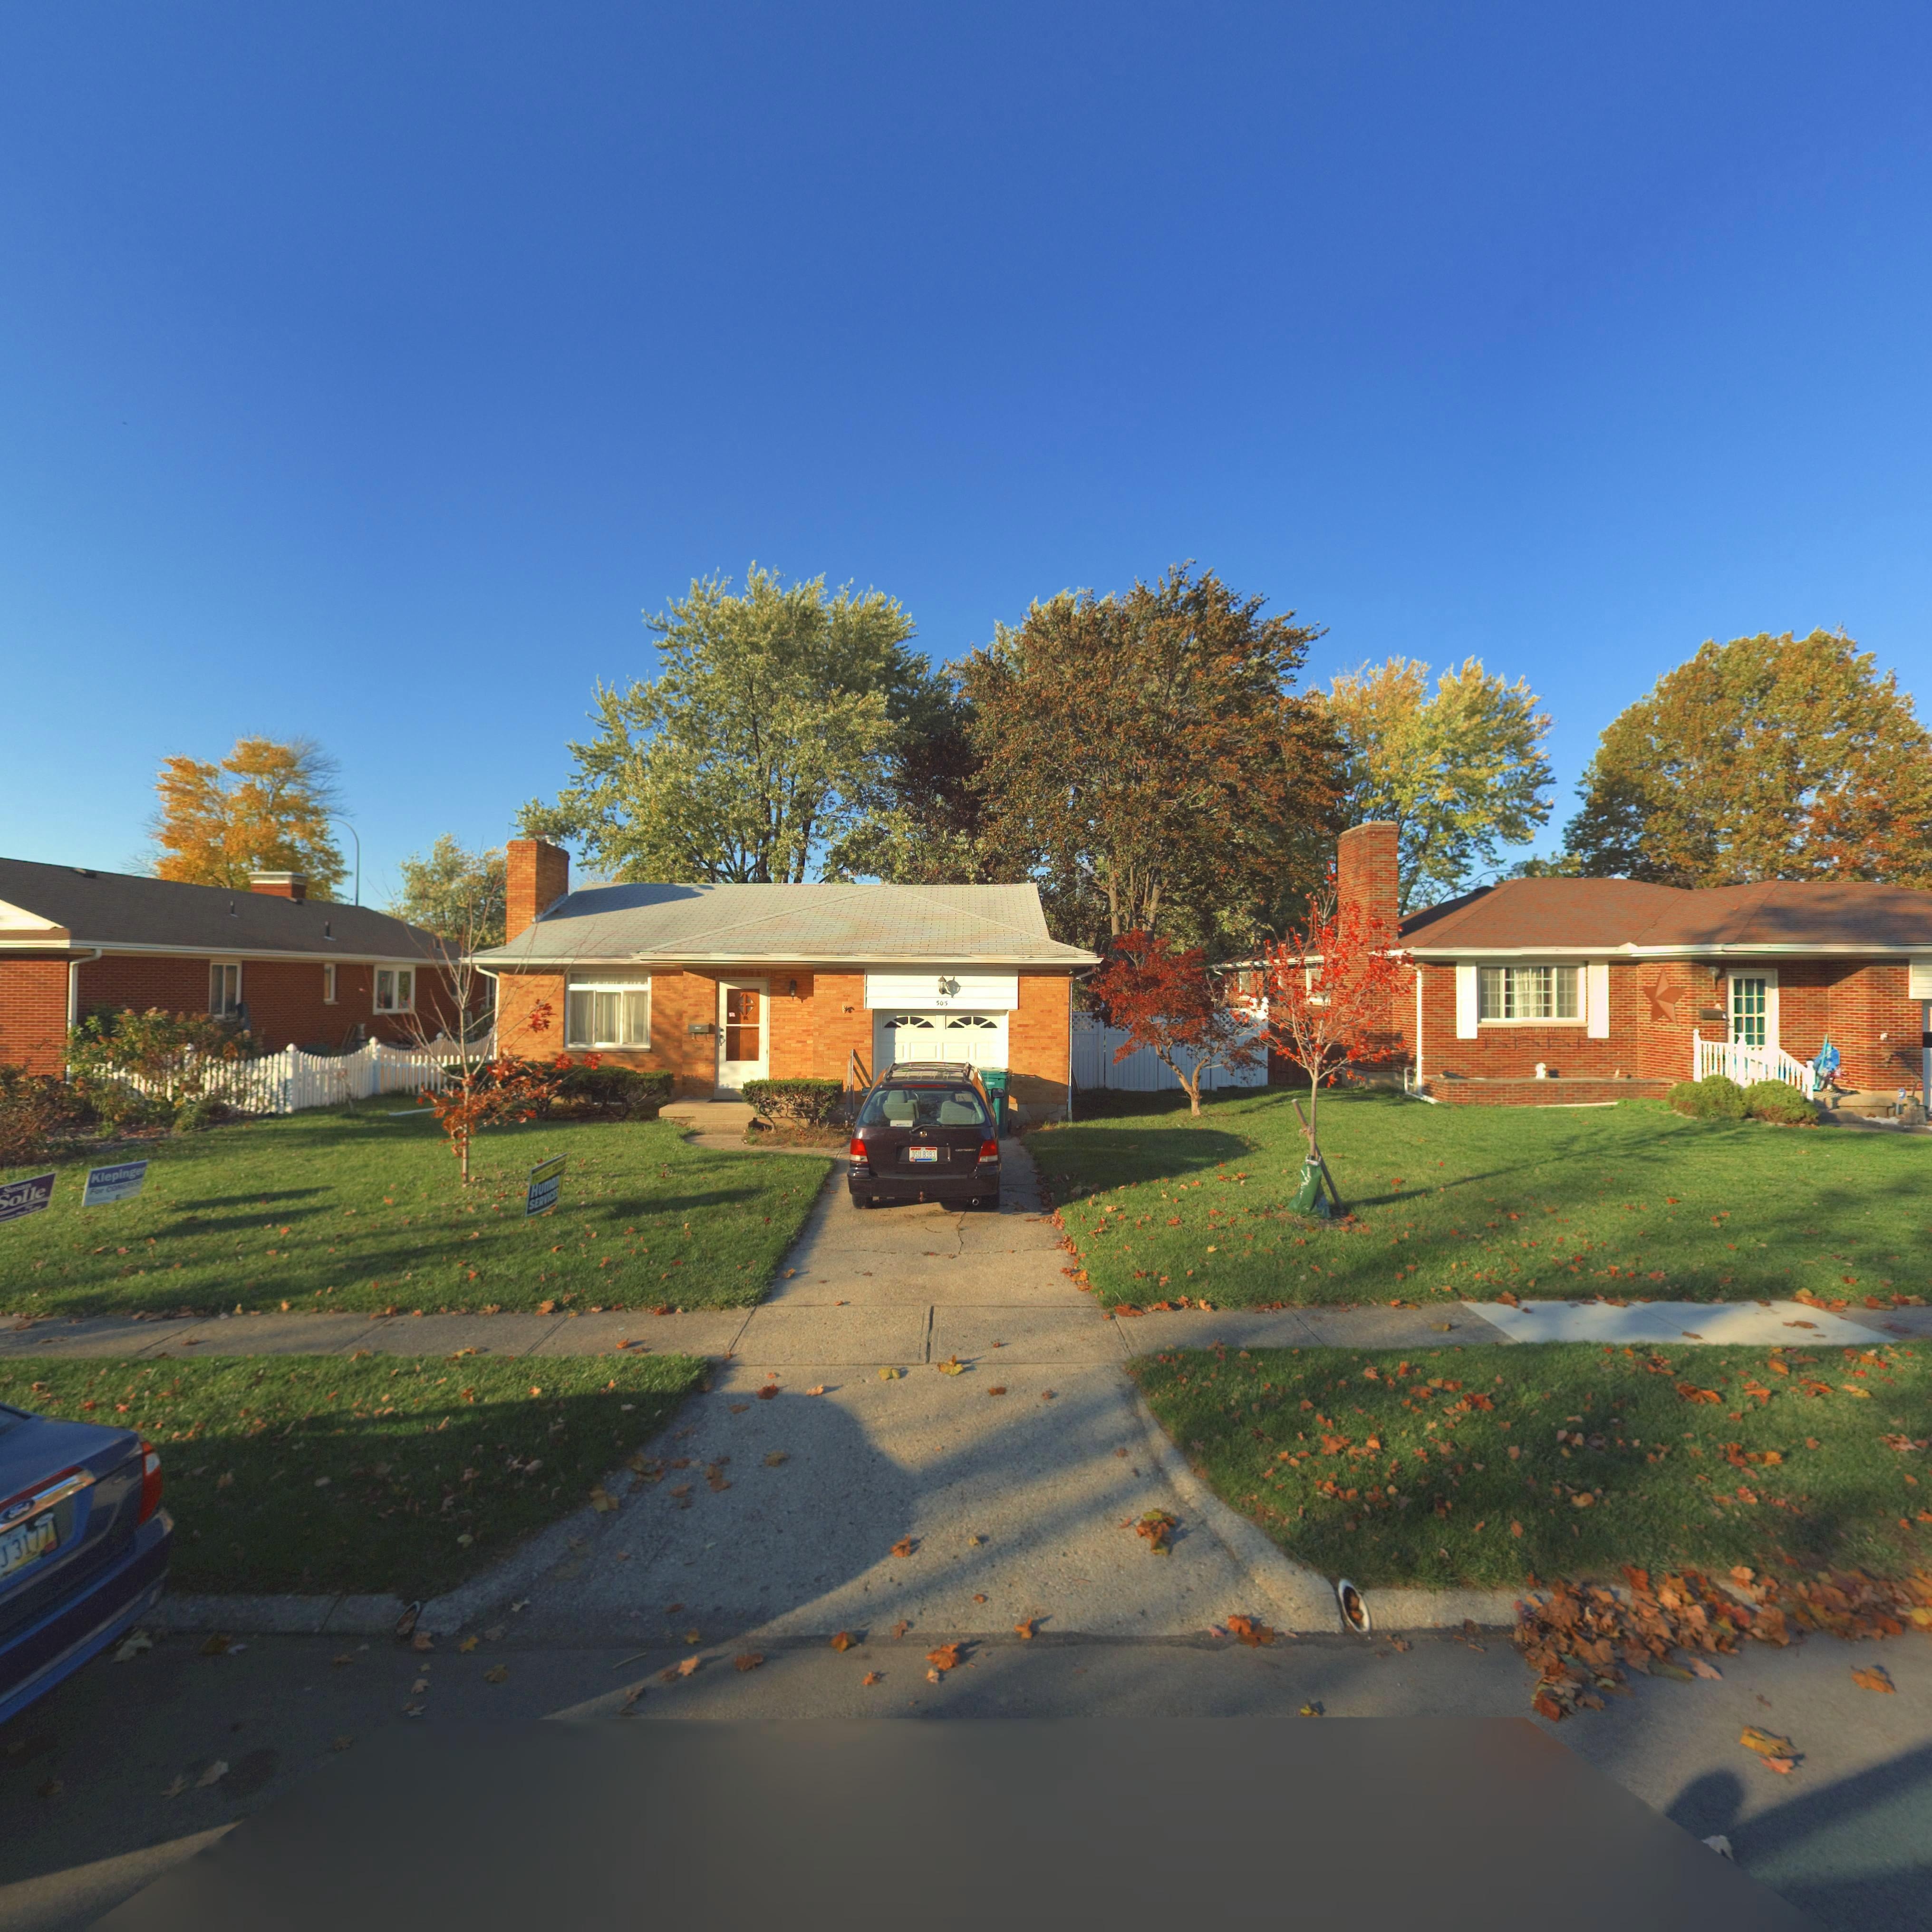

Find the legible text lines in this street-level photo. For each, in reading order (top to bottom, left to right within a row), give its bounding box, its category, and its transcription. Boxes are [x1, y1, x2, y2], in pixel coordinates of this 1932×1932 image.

[936, 1000, 948, 1007] StreetNumber: 505